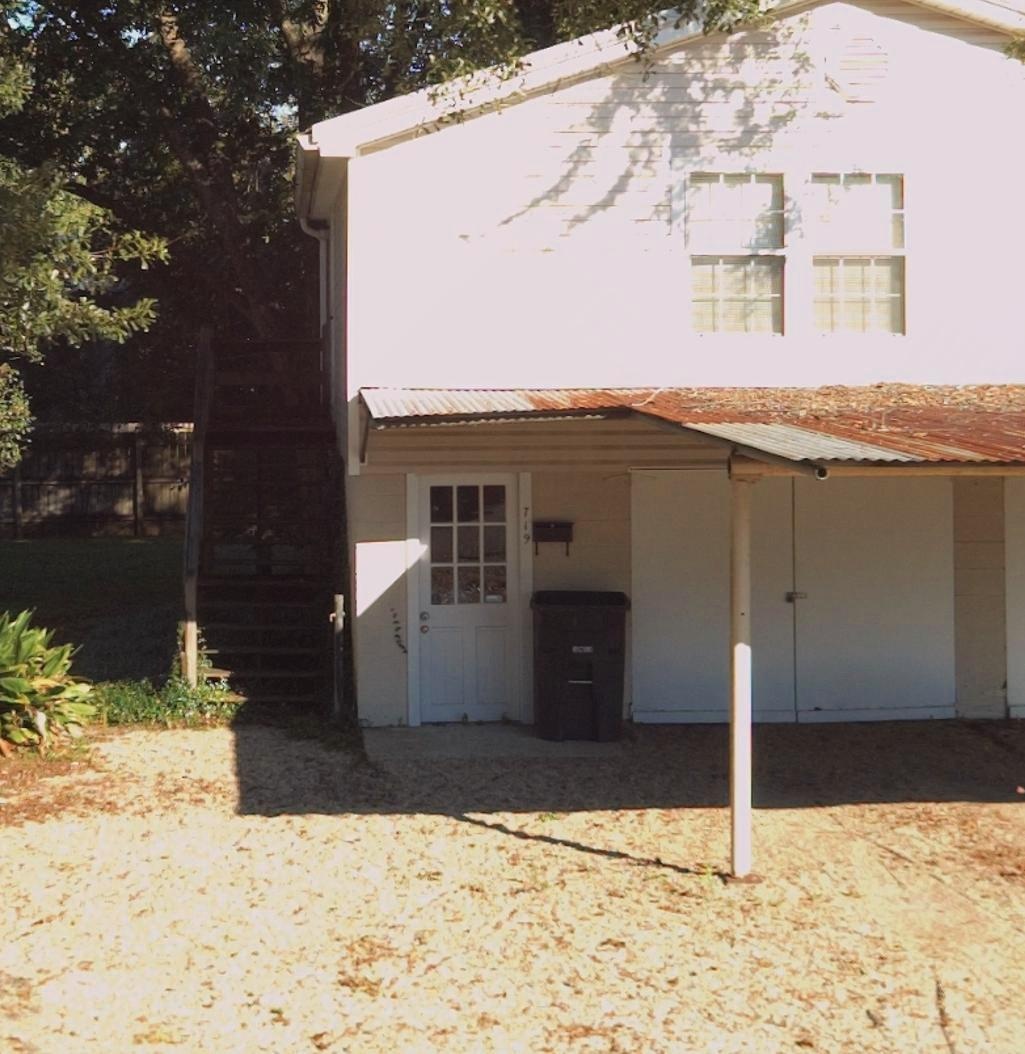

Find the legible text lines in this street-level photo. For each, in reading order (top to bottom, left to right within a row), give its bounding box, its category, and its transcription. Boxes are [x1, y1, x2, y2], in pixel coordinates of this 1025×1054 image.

[521, 505, 532, 546] StreetNumber: 719